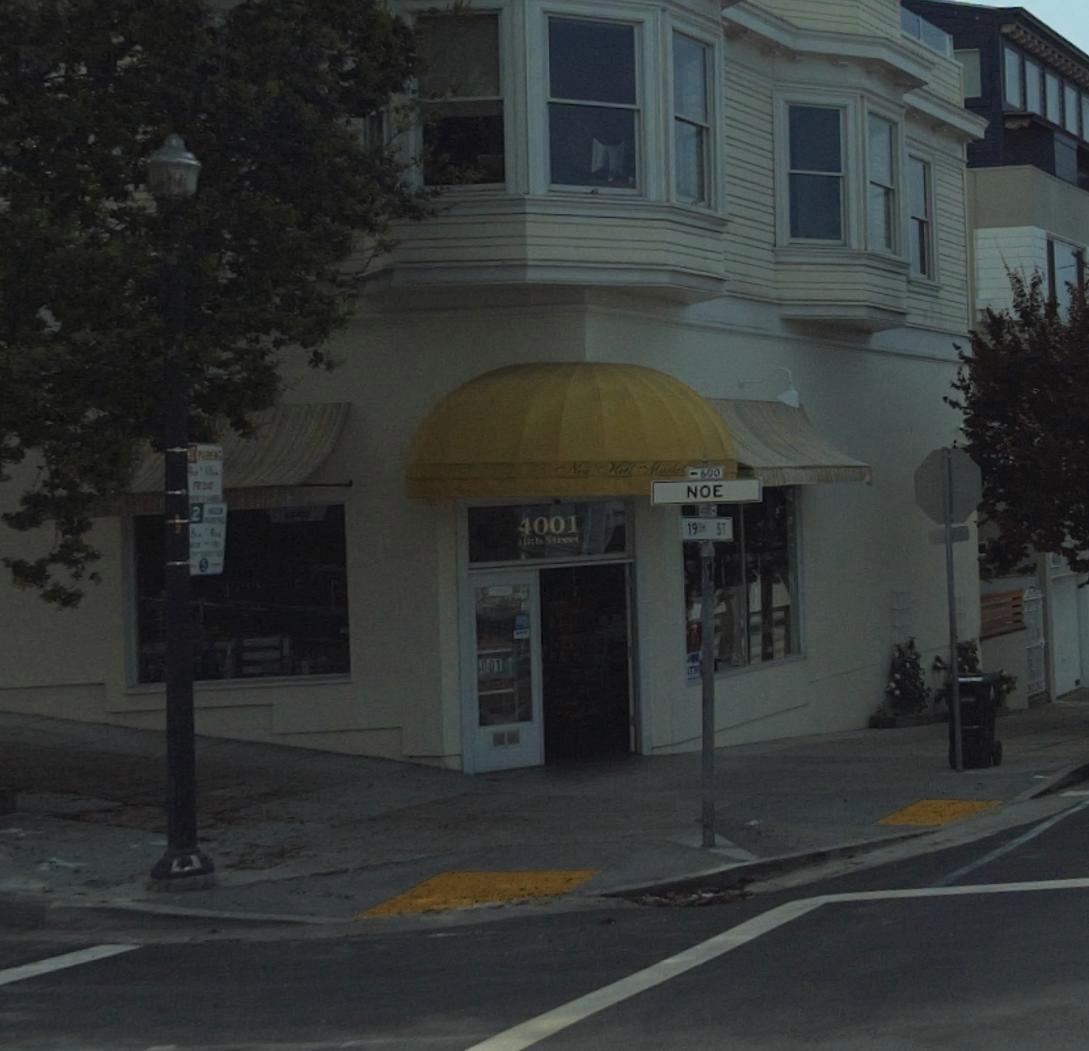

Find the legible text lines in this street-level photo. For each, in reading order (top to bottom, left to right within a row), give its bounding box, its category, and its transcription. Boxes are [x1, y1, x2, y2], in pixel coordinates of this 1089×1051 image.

[188, 447, 197, 462] None: NO
[198, 449, 221, 460] None: PARKING
[688, 467, 720, 478] StreetNumberRange: <- 600
[686, 483, 724, 498] StreetName: NOE
[189, 527, 196, 540] None: 8
[190, 505, 201, 521] None: 2
[204, 526, 216, 538] None: 10
[203, 515, 225, 524] None: PARKING
[206, 506, 224, 515] None: HOUR
[517, 514, 580, 537] StreetNumber: 4001
[685, 520, 728, 537] StreetName: 19TH ST
[516, 535, 580, 547] StreetName: 19th Street
[200, 559, 208, 572] None: S
[481, 659, 500, 672] StreetNumber: 001